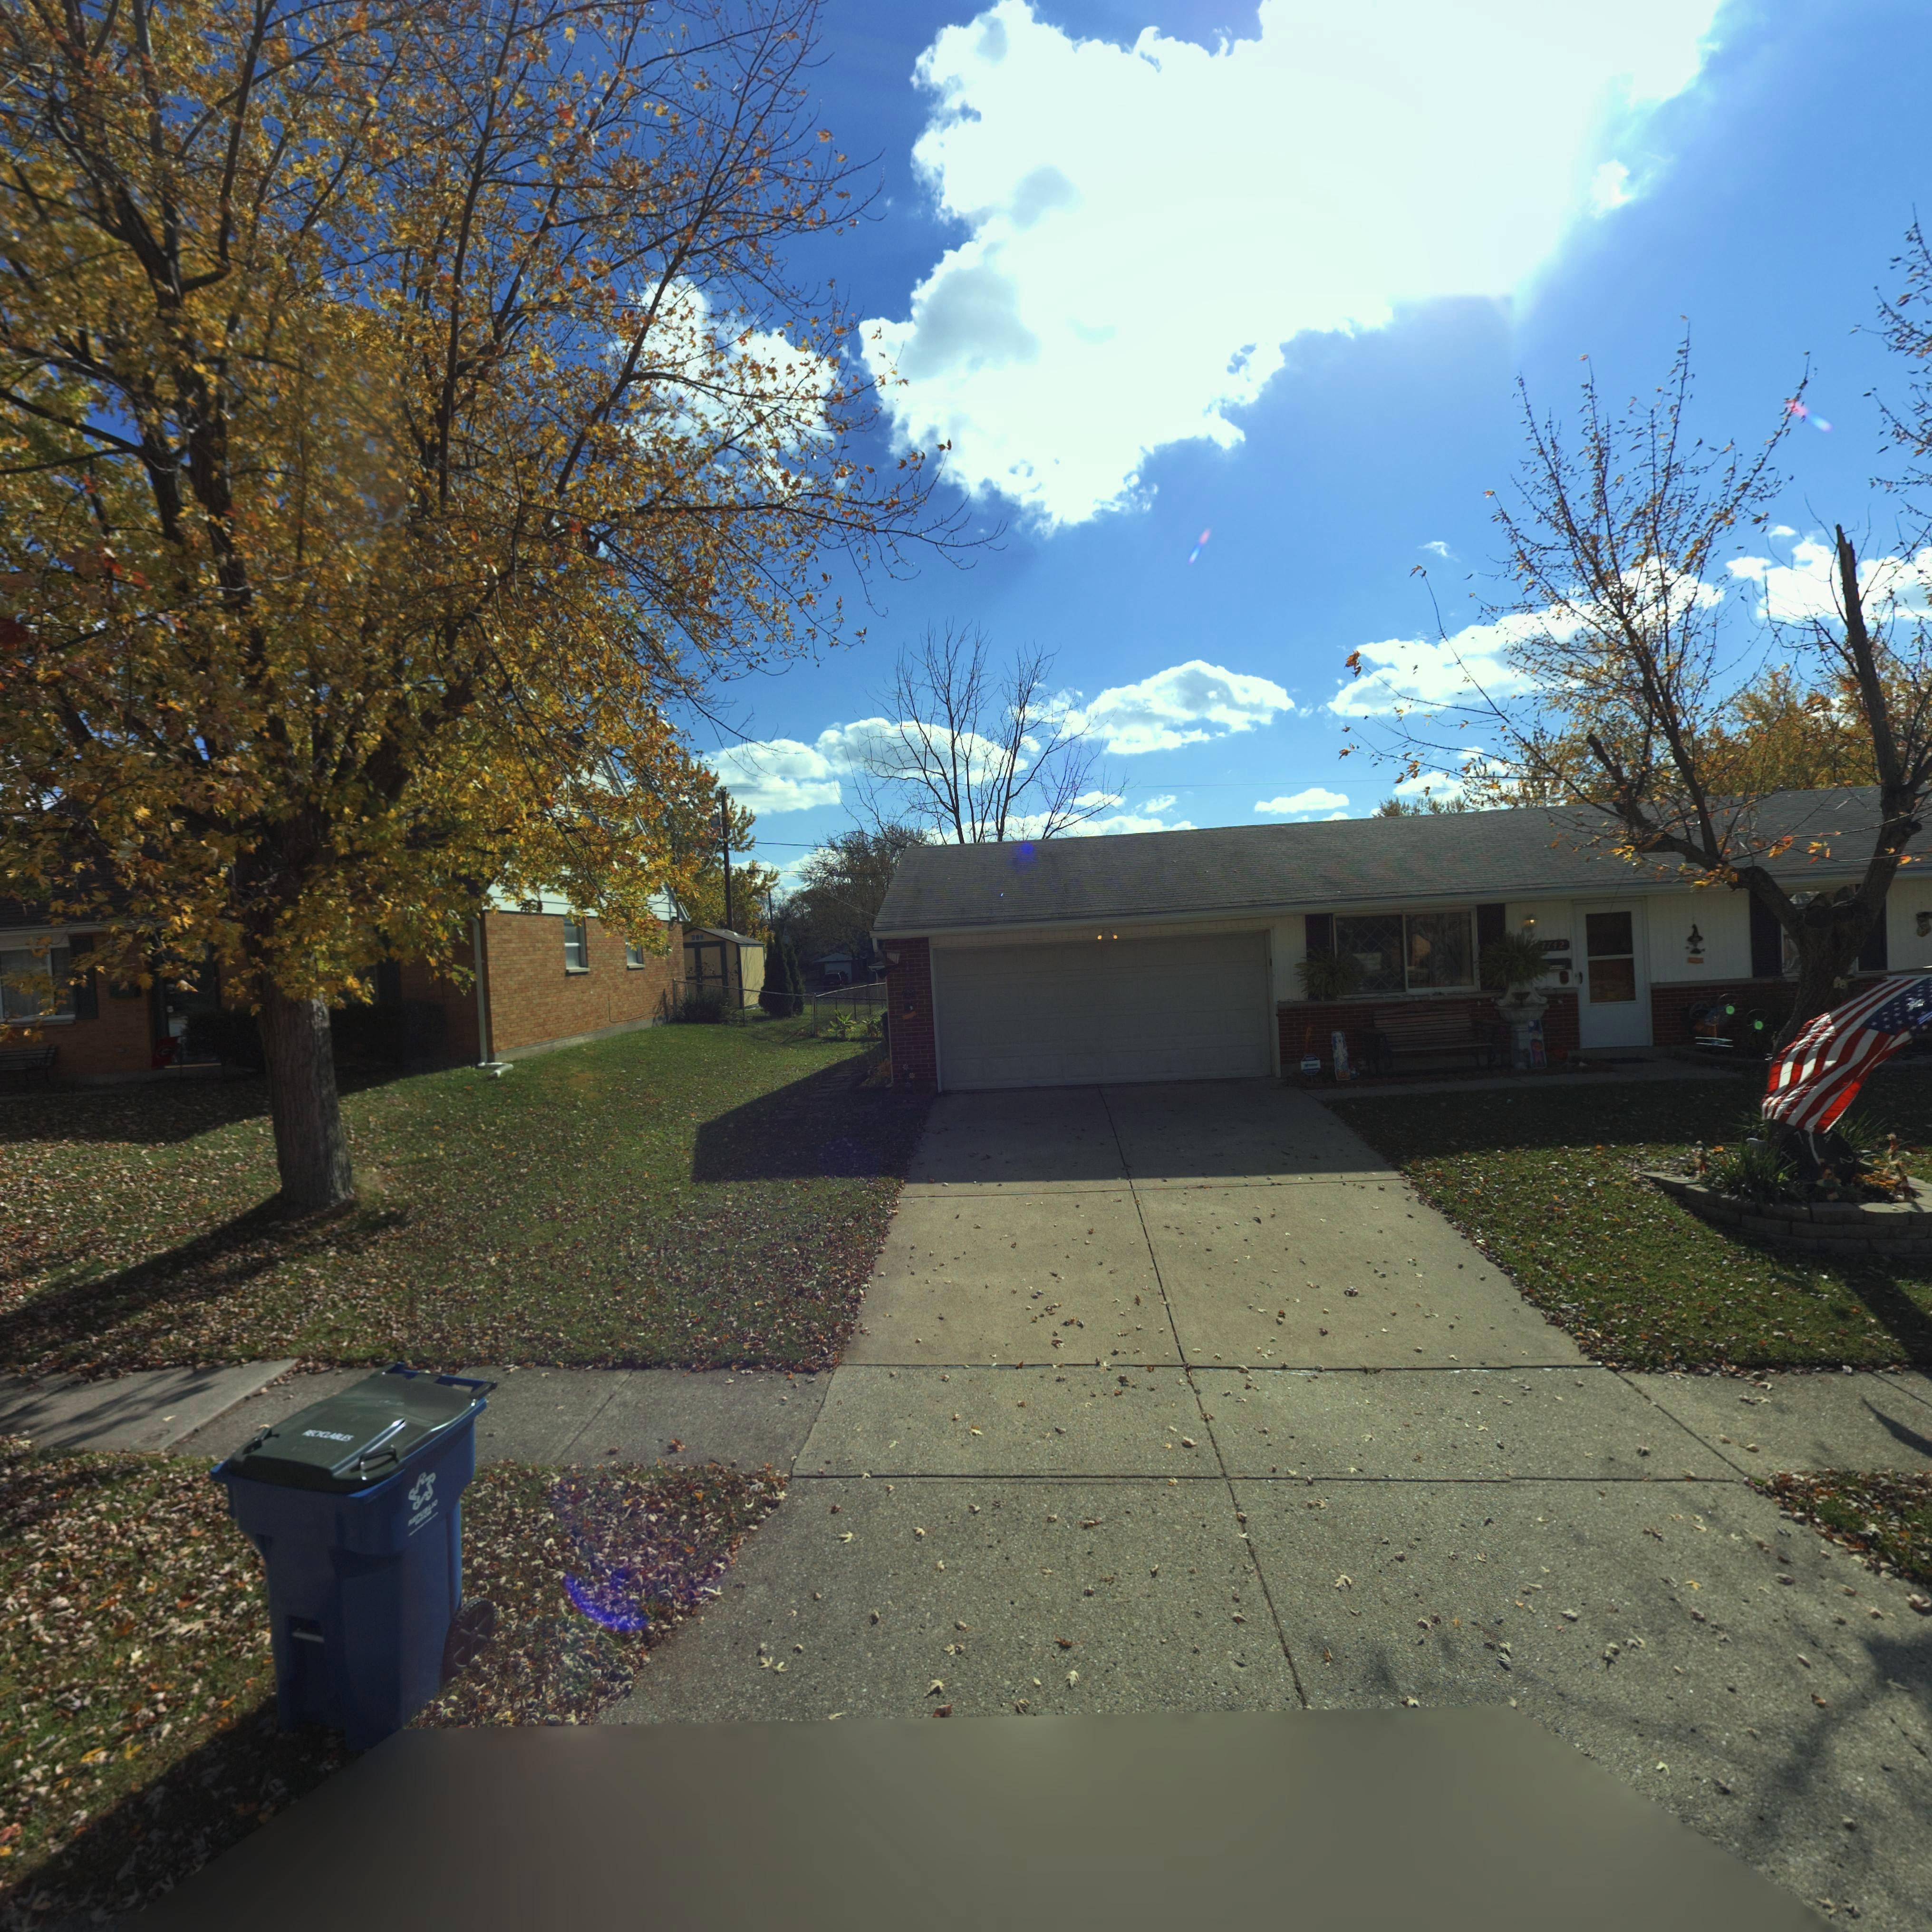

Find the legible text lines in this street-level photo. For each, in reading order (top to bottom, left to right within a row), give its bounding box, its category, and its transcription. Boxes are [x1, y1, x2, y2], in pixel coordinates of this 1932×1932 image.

[1540, 940, 1565, 950] StreetNumber: 7742
[1778, 1130, 1855, 1165] StreetNumber: 7742